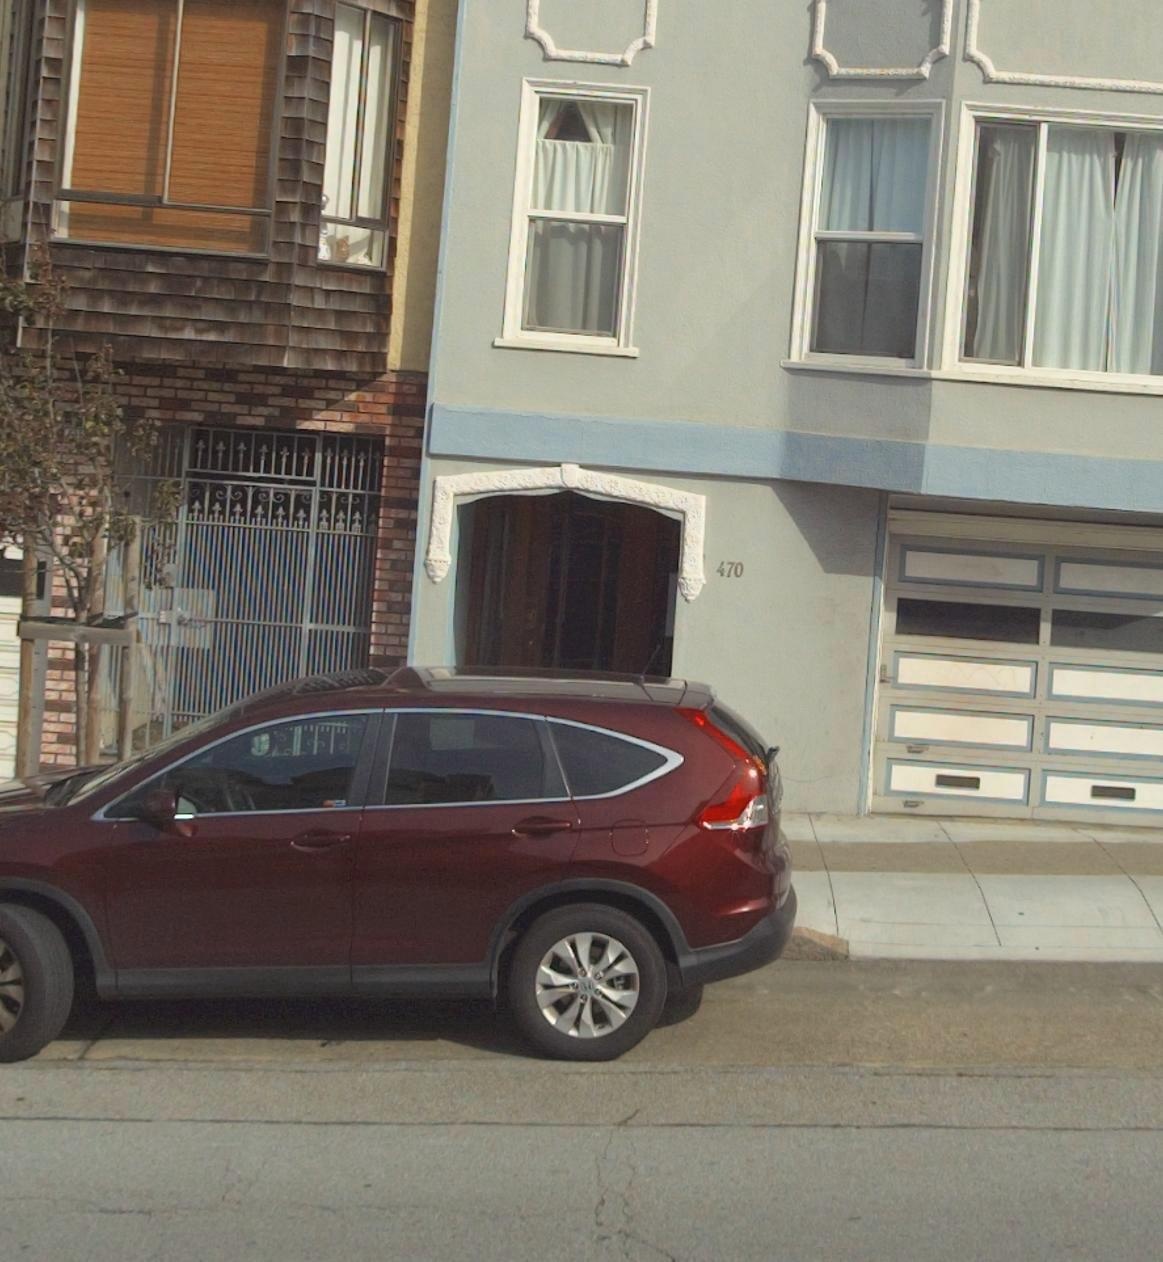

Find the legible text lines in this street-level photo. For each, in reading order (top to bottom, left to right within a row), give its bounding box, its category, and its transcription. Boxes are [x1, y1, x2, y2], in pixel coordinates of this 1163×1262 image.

[715, 559, 746, 579] StreetNumber: 470